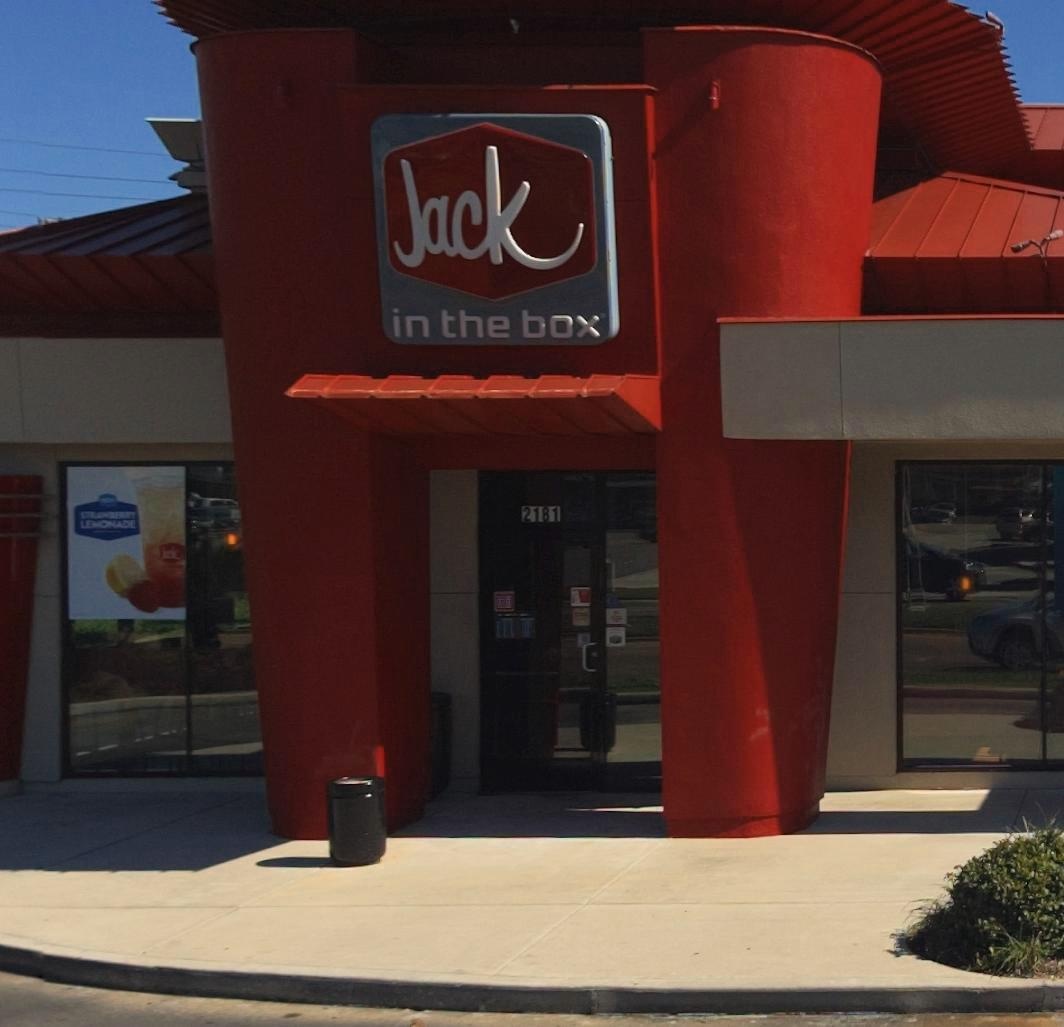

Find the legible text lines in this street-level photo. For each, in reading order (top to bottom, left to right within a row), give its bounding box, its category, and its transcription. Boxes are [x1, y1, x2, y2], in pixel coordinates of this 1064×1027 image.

[392, 143, 587, 272] BusinessName: Jack
[390, 306, 603, 339] BusinessName: in the box
[79, 510, 136, 519] None: STRAWBERRY
[522, 506, 559, 522] StreetNumber: 2181
[79, 519, 137, 529] None: LEMONADE